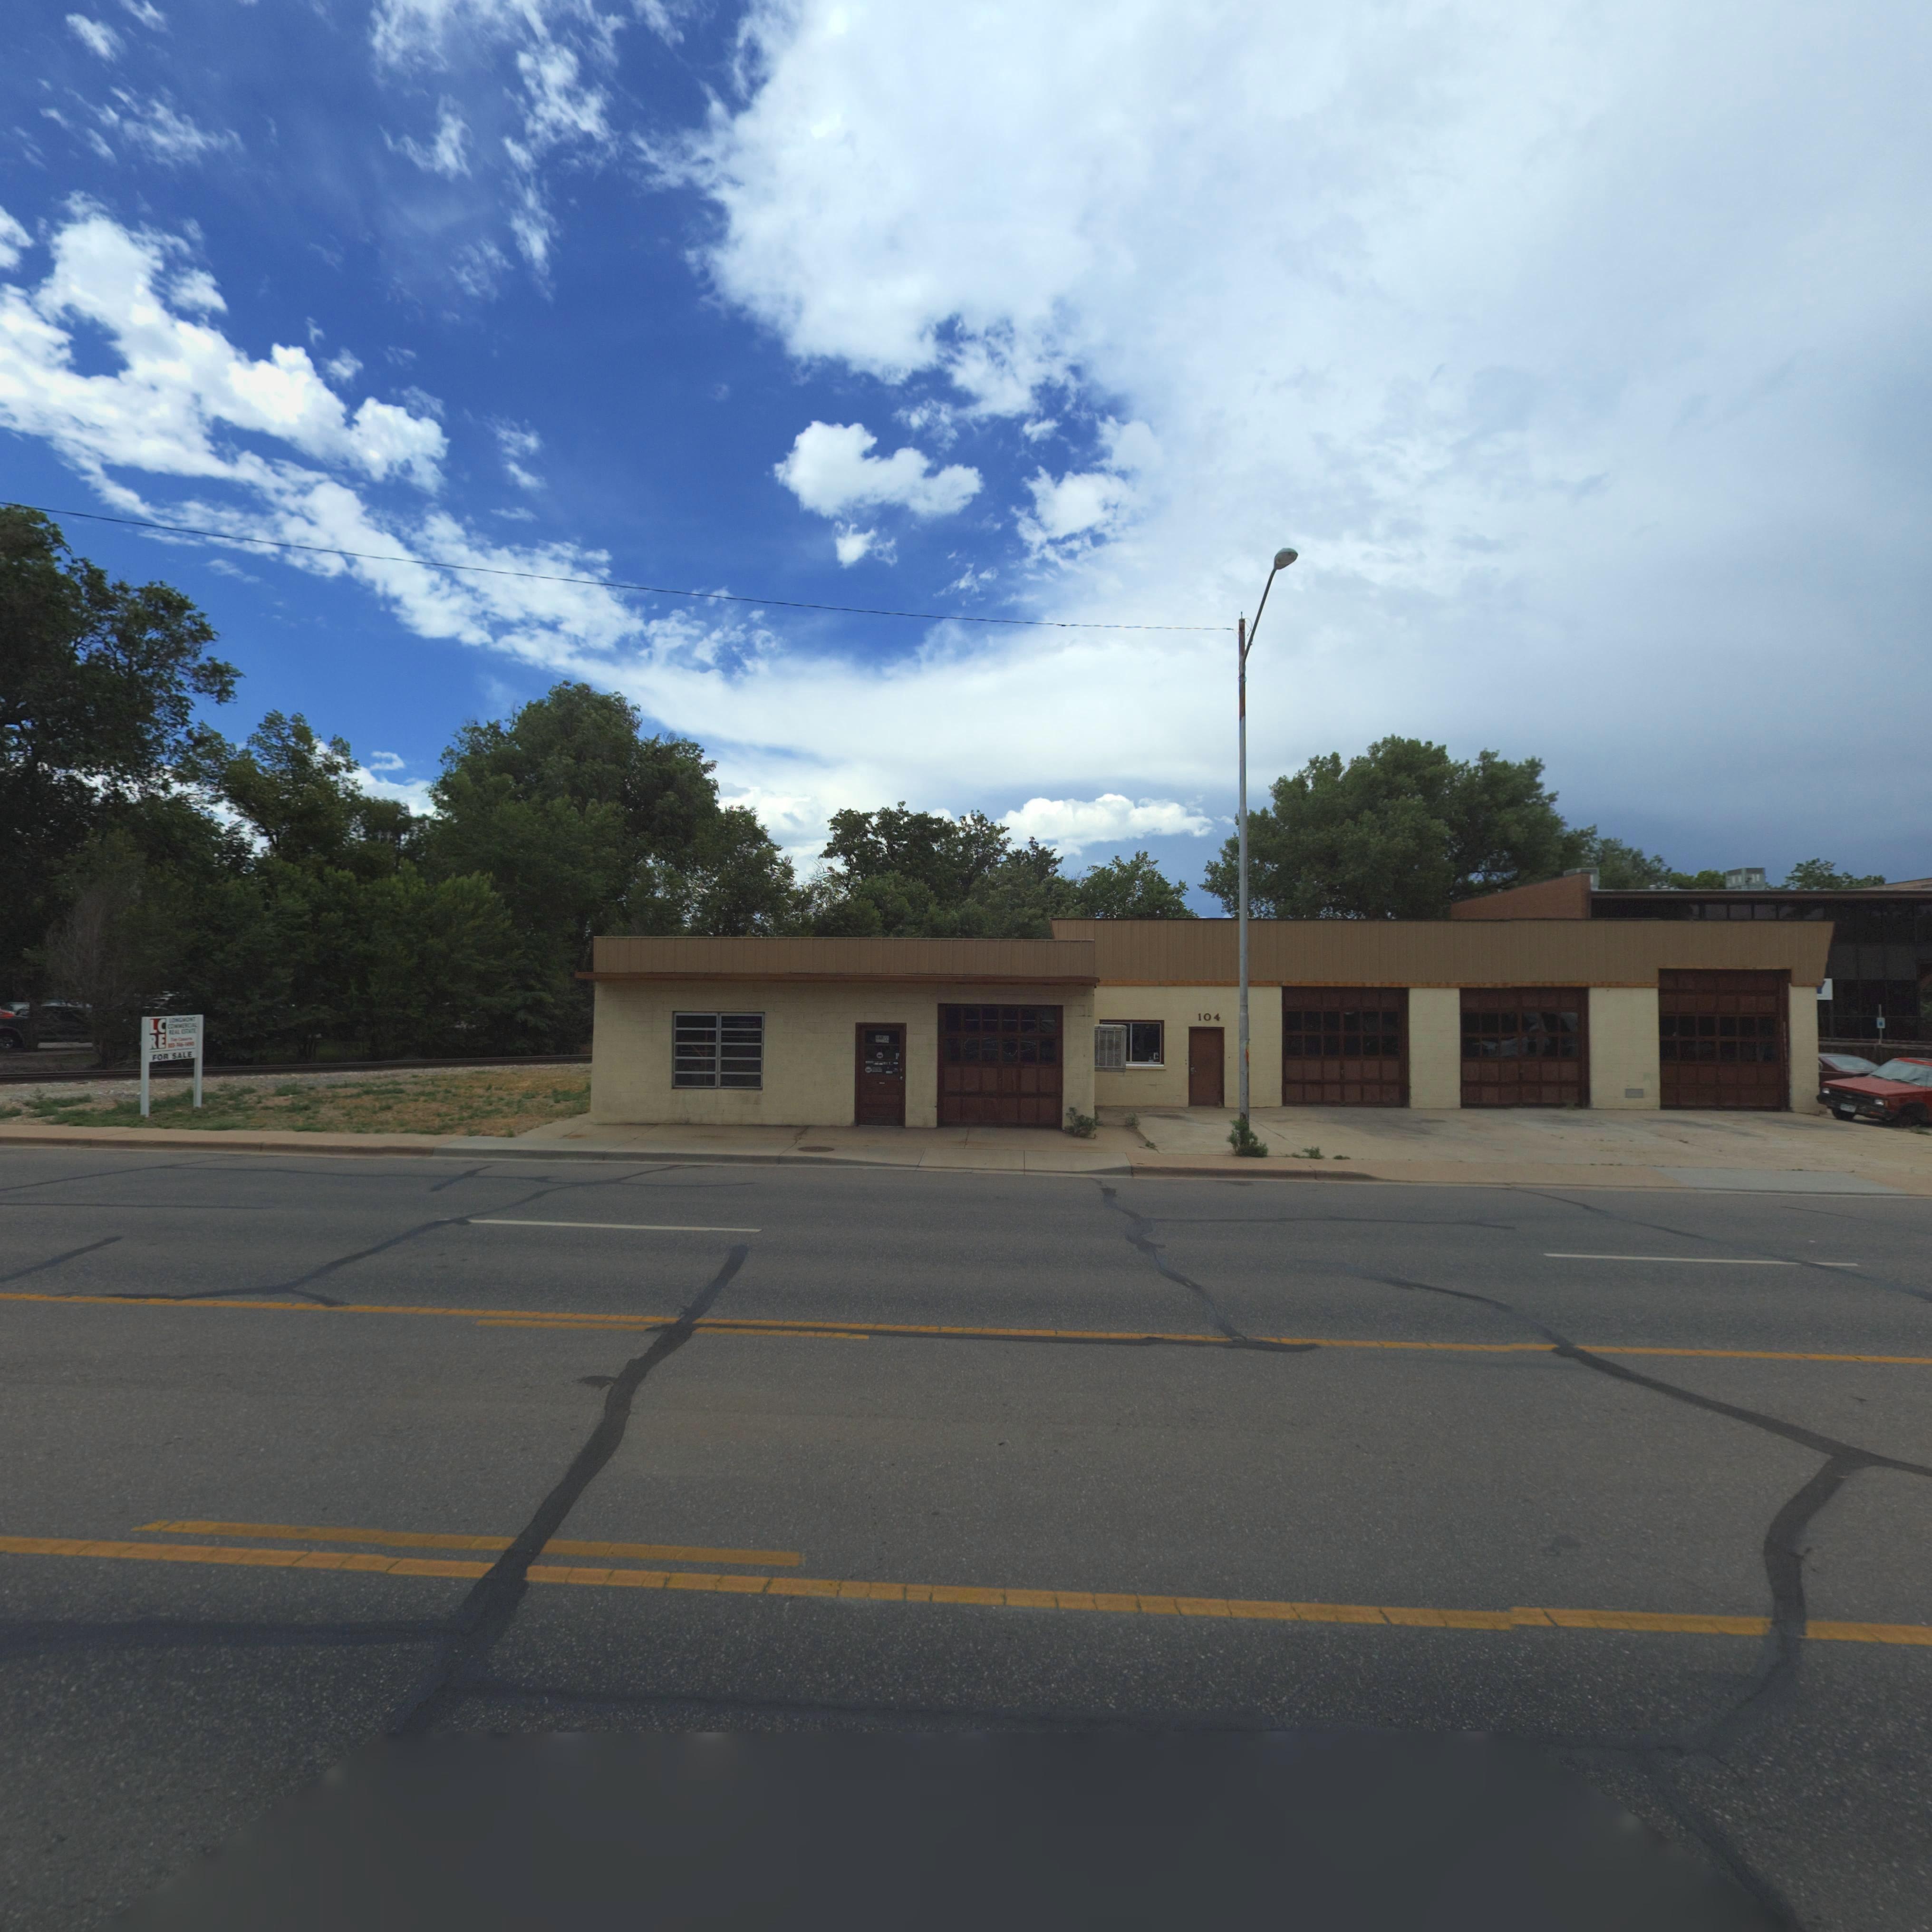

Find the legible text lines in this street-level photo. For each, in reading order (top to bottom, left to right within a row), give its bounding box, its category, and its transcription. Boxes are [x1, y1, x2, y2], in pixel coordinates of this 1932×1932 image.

[1198, 1013, 1220, 1021] StreetNumber: 104